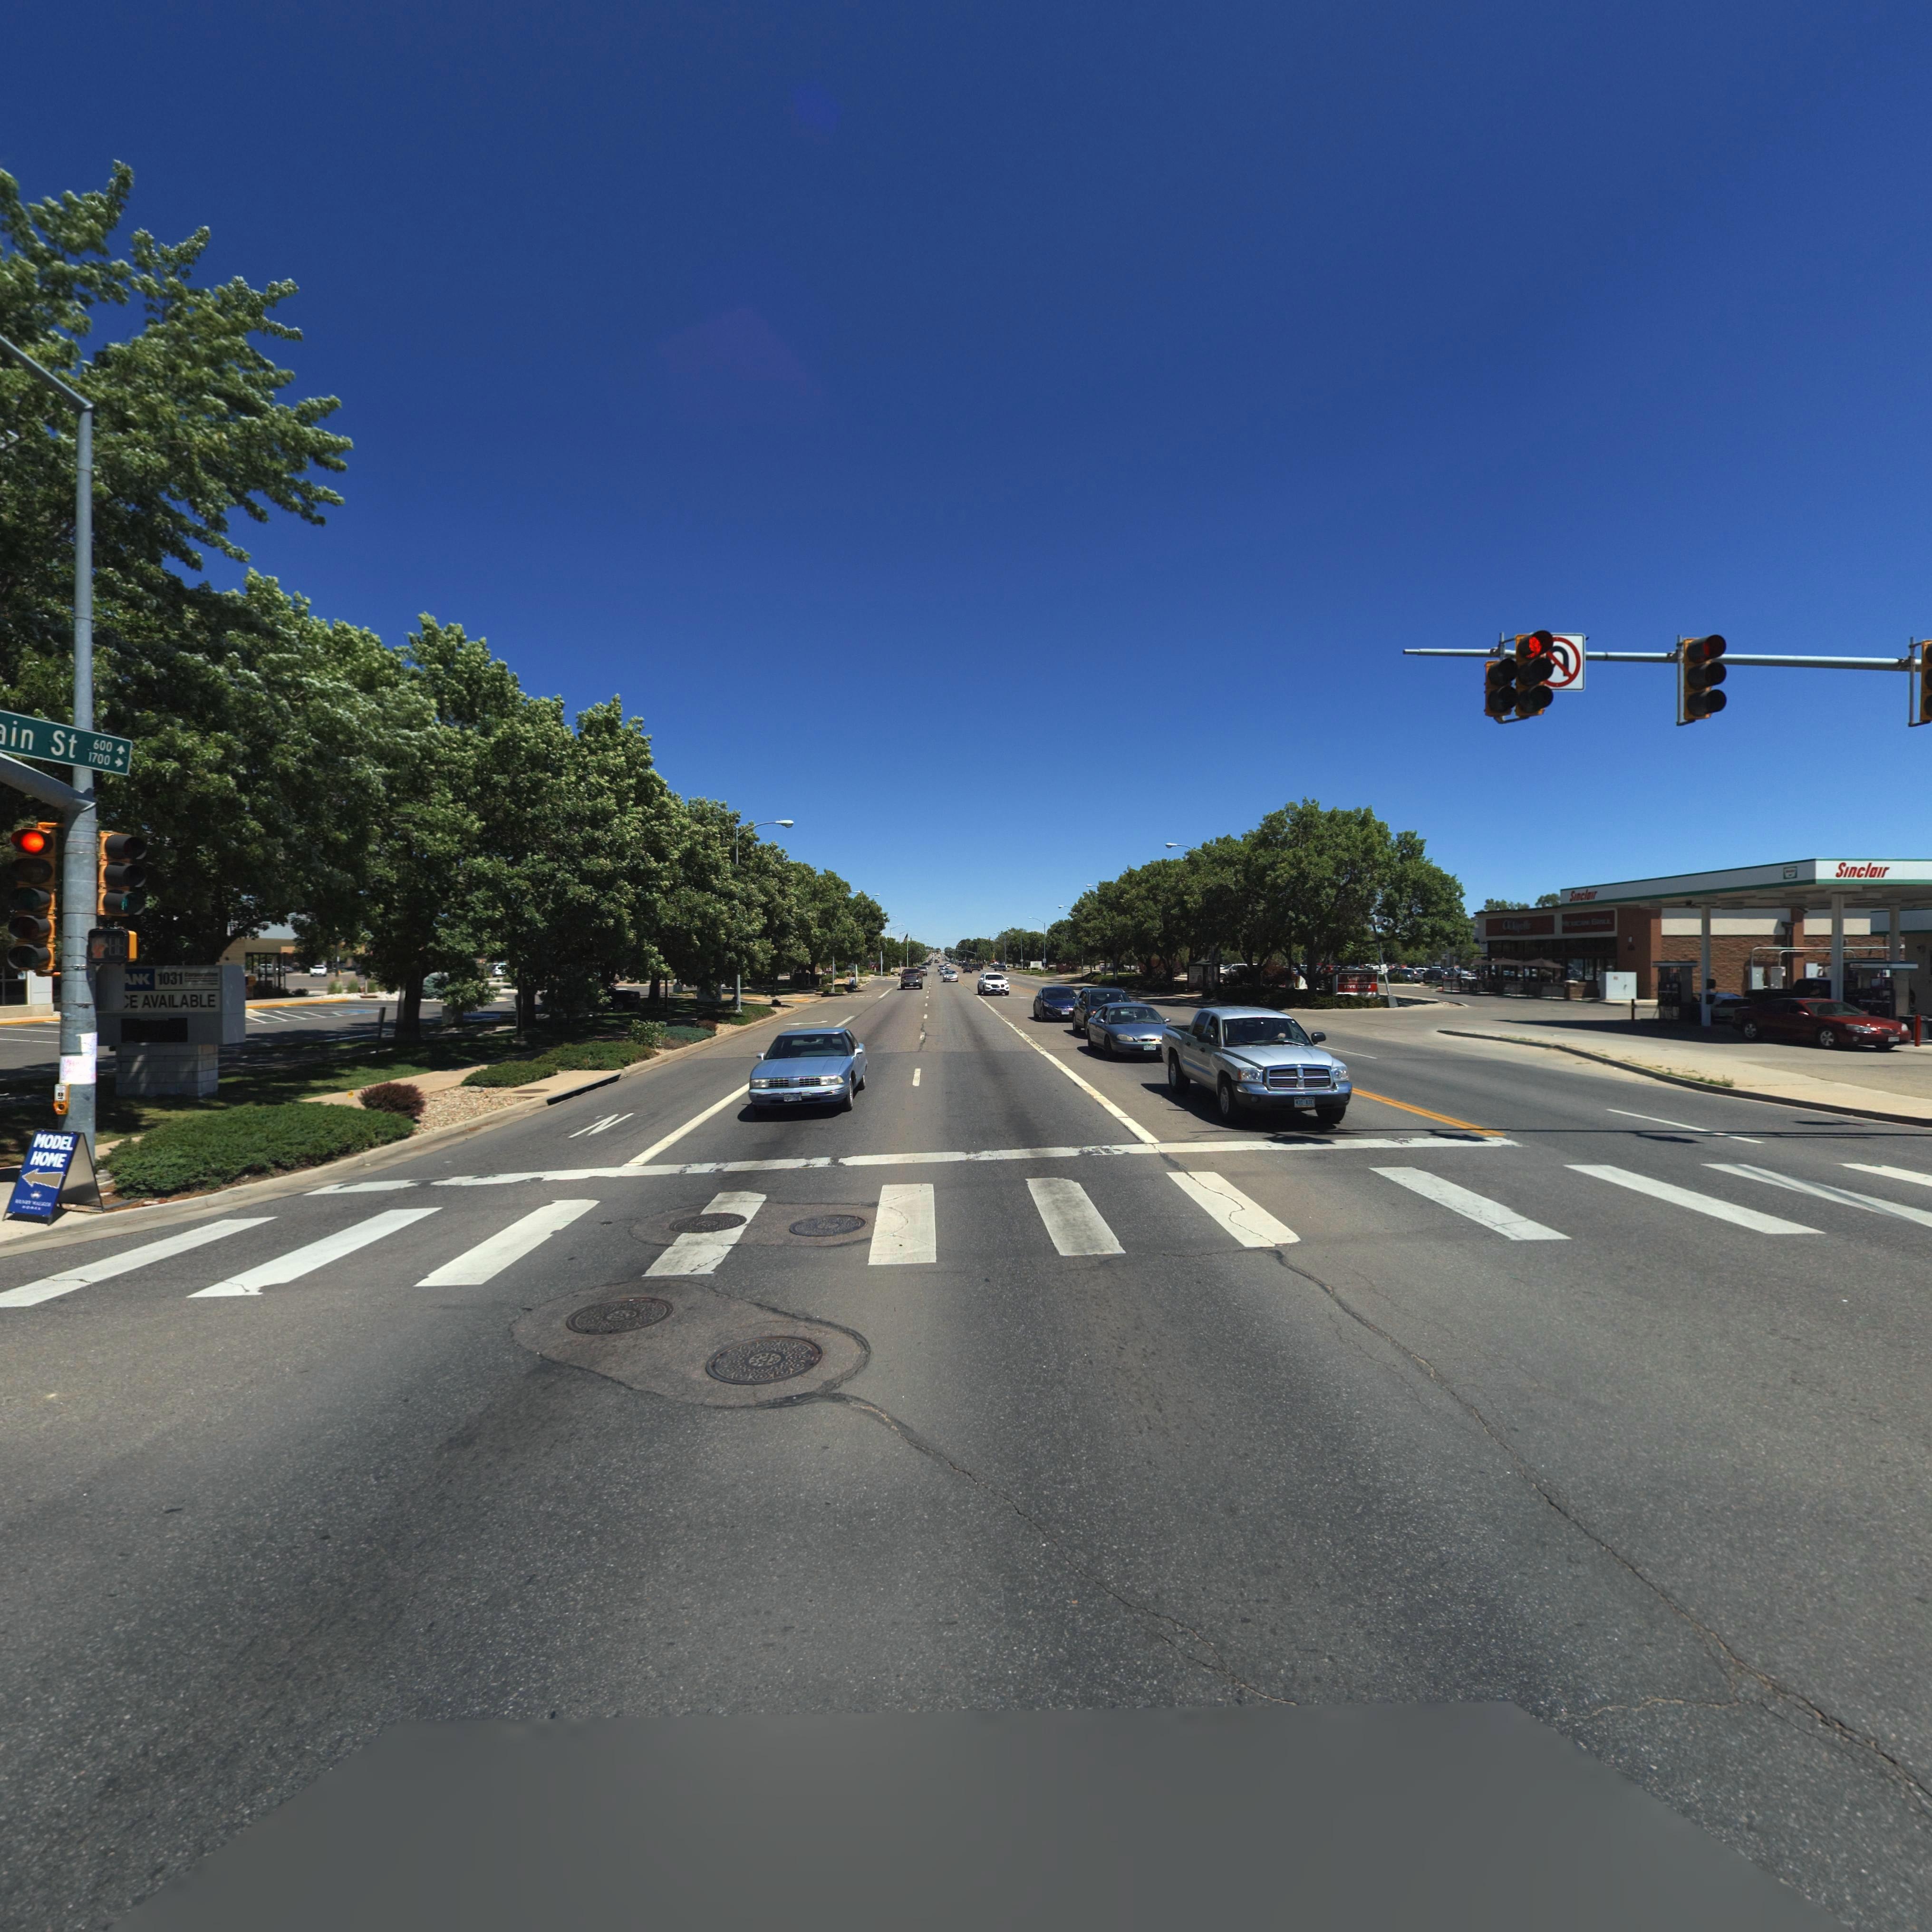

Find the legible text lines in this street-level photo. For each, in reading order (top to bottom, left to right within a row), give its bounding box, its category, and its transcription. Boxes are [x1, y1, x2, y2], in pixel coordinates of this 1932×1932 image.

[8, 718, 79, 761] StreetName: in St
[92, 737, 114, 753] StreetNumberRange: 600
[87, 750, 125, 769] StreetNumberRange: 1700->
[1835, 861, 1890, 879] BusinessName: Sinclair
[1568, 888, 1598, 902] BusinessName: Sinclair
[1501, 918, 1532, 933] BusinessName: C********
[124, 972, 151, 986] BusinessName: AN*
[157, 971, 183, 985] StreetNumber: 1031
[1346, 974, 1367, 982] BusinessName: C**p**l*
[1343, 984, 1371, 989] BusinessName: FIV* GUY*